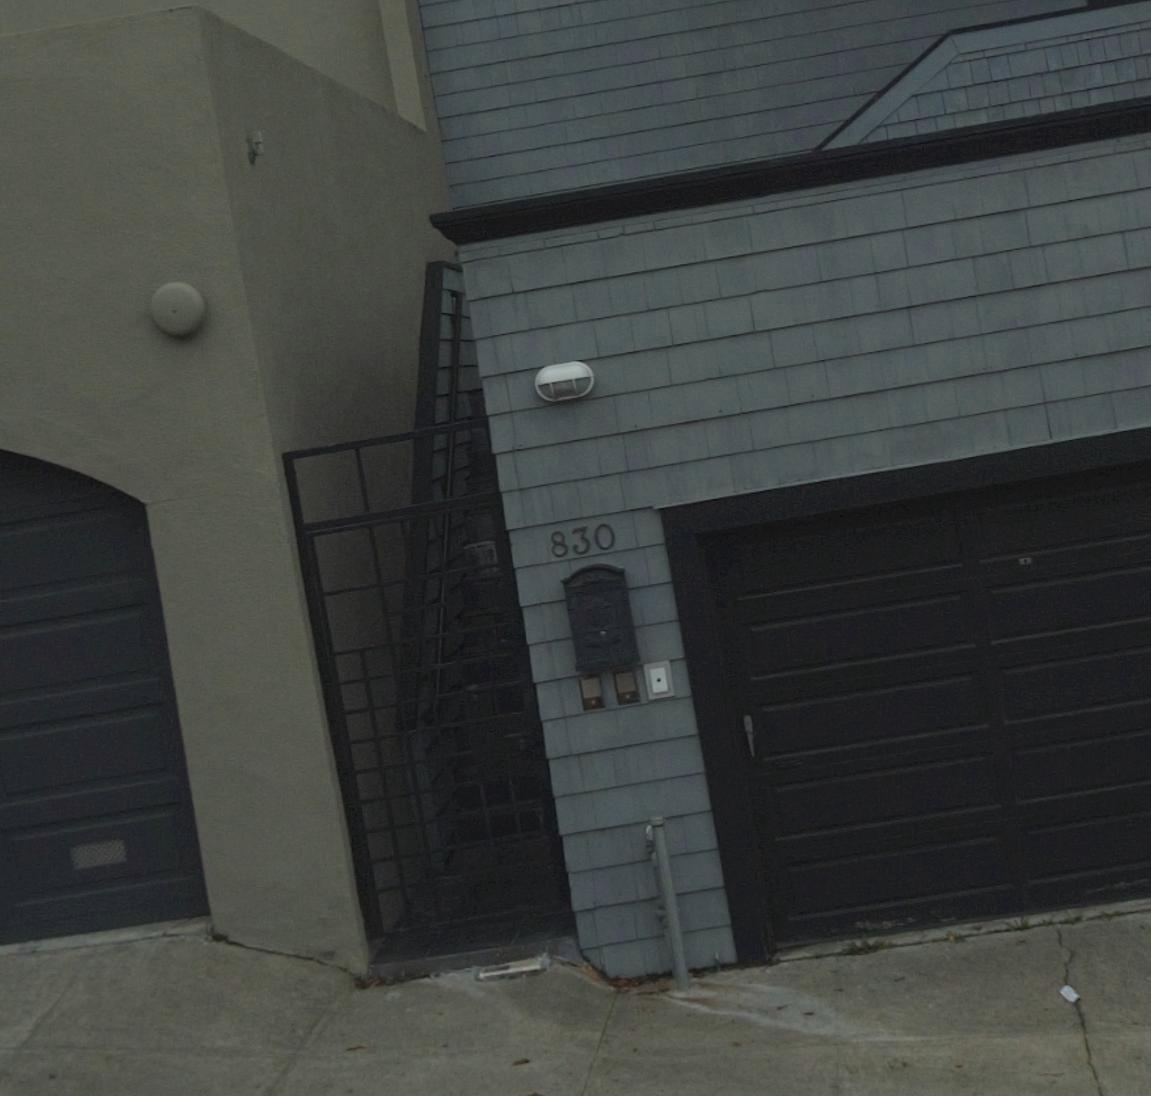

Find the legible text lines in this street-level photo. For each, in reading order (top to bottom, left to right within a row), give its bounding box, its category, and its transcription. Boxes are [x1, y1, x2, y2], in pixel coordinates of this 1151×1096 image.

[548, 518, 619, 561] StreetNumber: 830